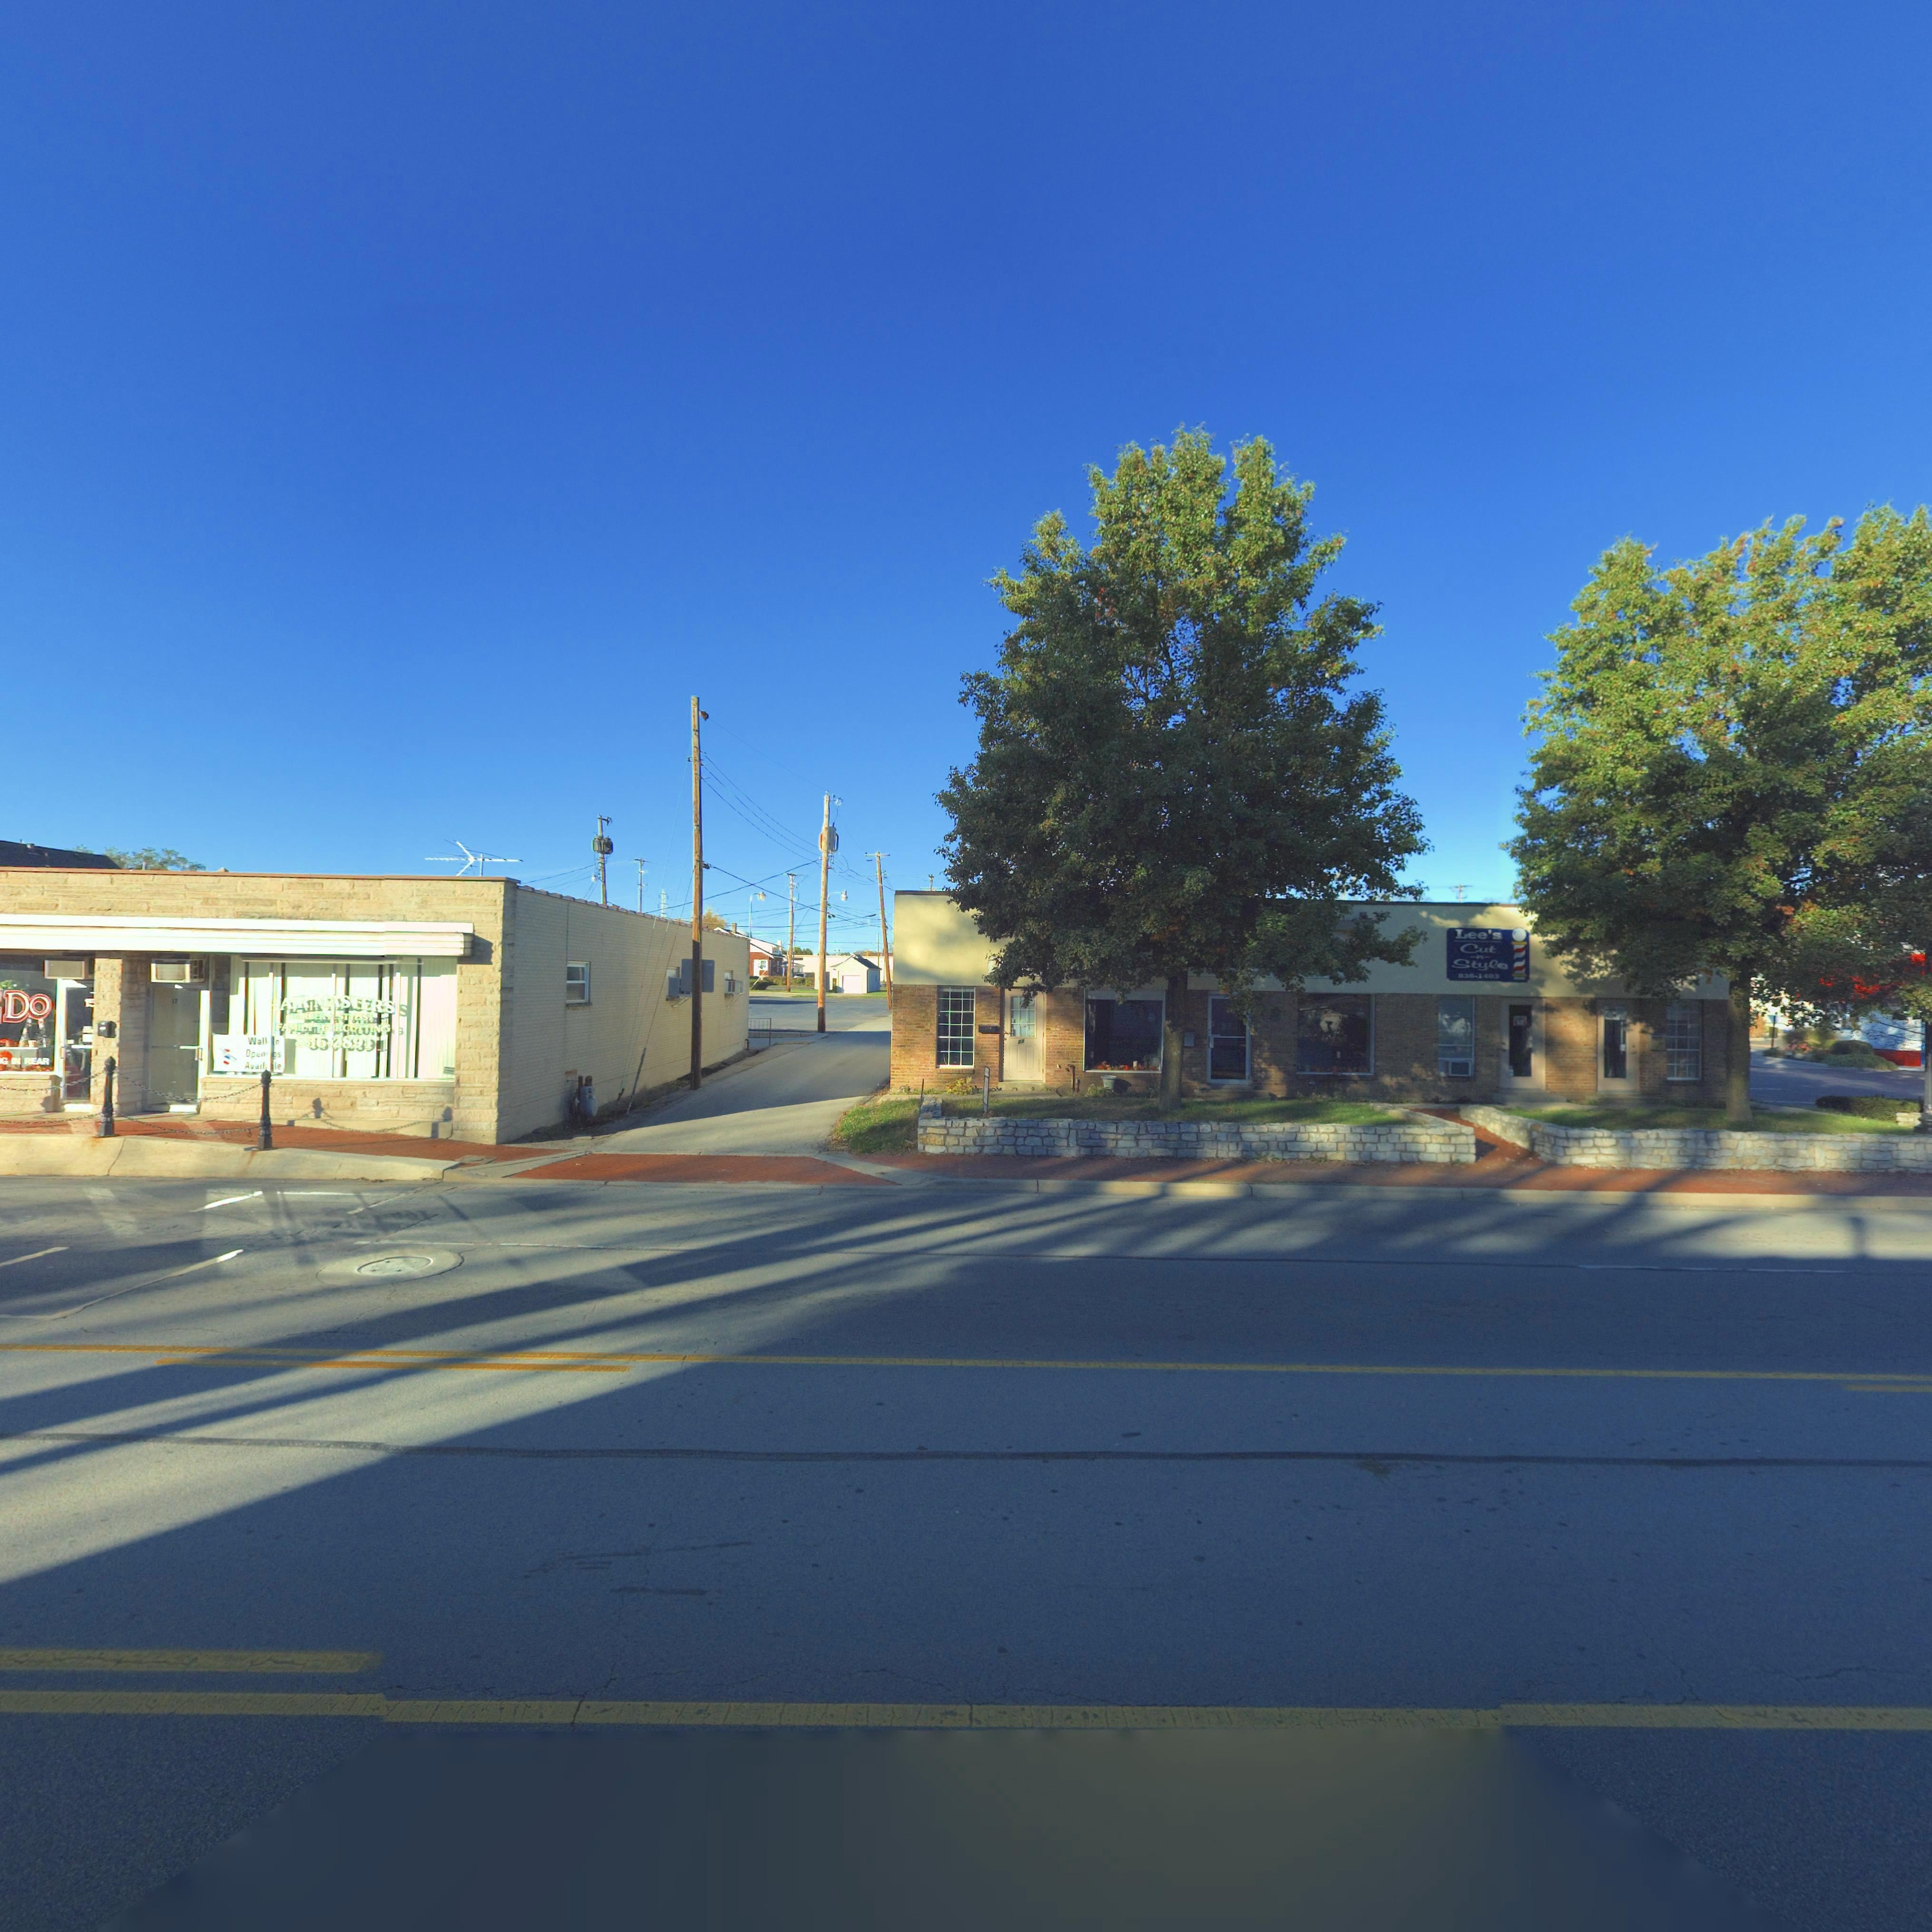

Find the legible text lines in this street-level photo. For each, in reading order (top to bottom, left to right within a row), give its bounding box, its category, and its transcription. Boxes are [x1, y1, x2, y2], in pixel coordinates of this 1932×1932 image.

[1453, 928, 1504, 941] None: Lee's
[1456, 942, 1499, 955] None: Cut
[1452, 958, 1510, 972] None: Style
[1455, 972, 1500, 979] None: 836-140
[1, 988, 55, 1025] None: Do
[83, 997, 96, 1008] StreetNumber: 15
[171, 998, 179, 1005] StreetNumber: 17
[270, 994, 396, 1014] None: HAIR MASTERS
[1272, 1011, 1280, 1019] StreetNumber: 2*
[274, 1023, 392, 1034] None: FAMILY HAIRCUTTING
[247, 1037, 268, 1046] None: Wal*
[294, 1034, 372, 1051] None: 836-2891
[1018, 1039, 1024, 1044] StreetNumber: 23
[246, 1048, 266, 1060] None: Open
[23, 1056, 49, 1066] None: REAR
[243, 1061, 267, 1071] None: Avail